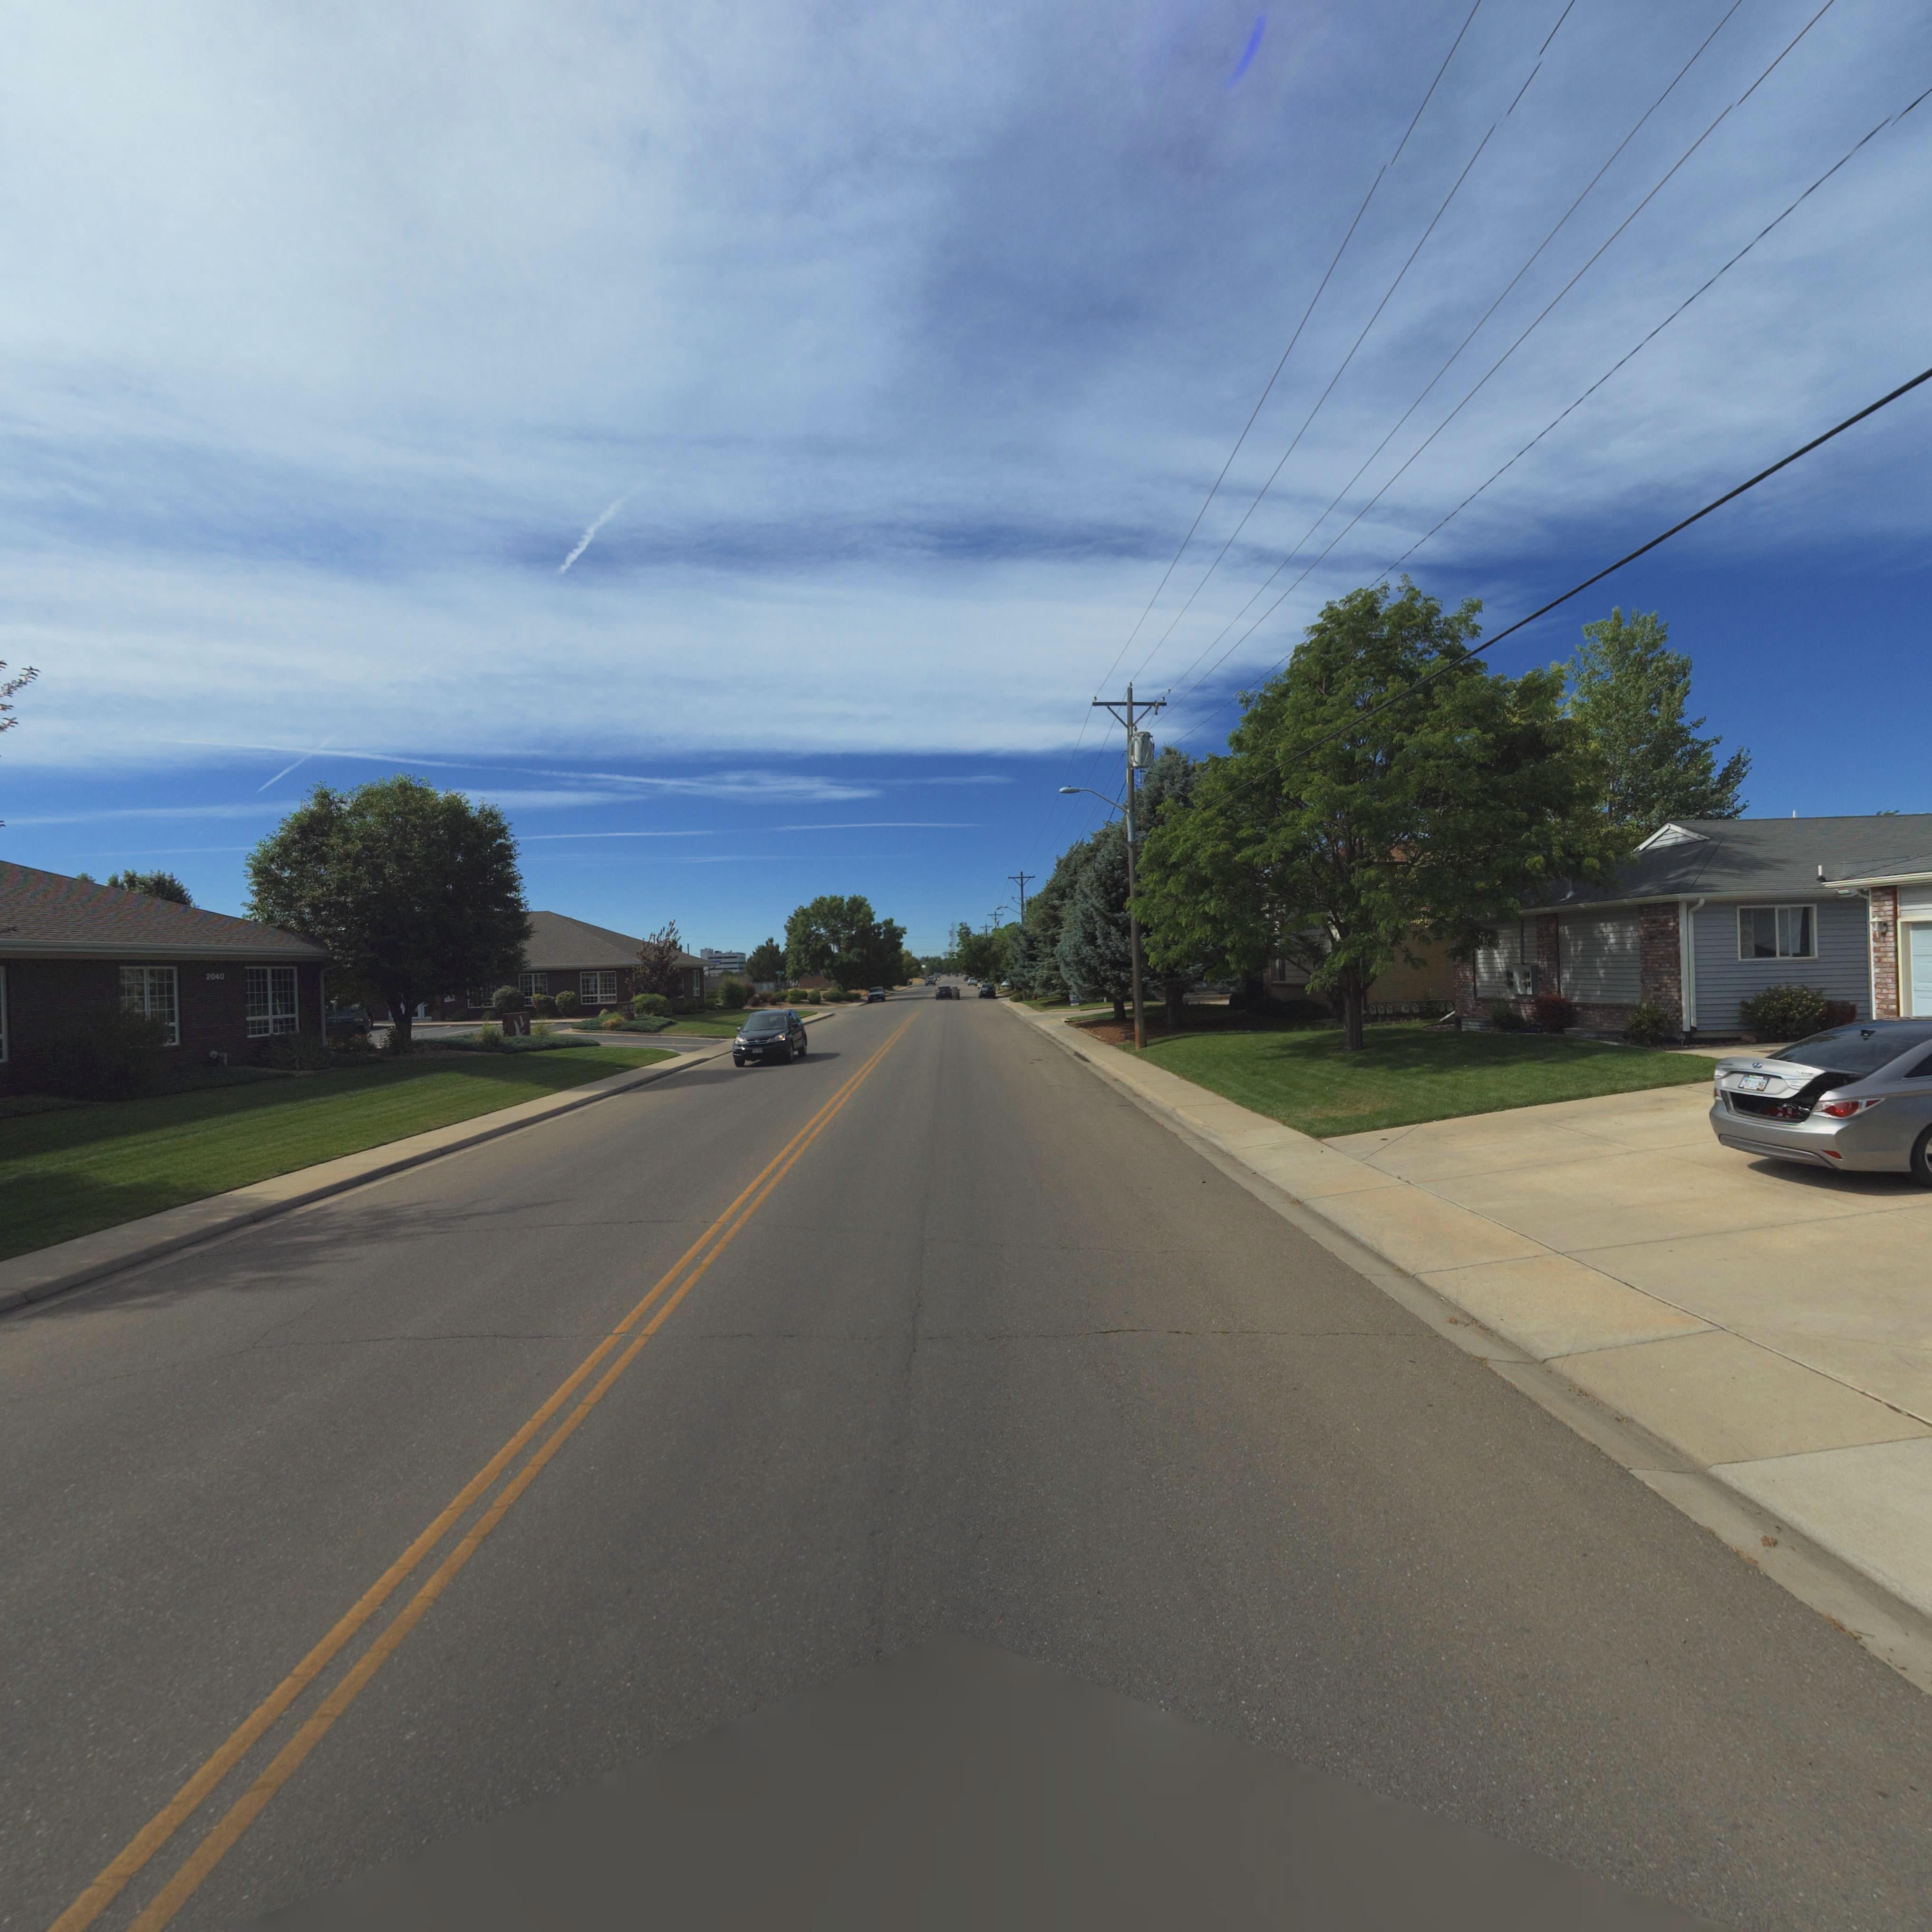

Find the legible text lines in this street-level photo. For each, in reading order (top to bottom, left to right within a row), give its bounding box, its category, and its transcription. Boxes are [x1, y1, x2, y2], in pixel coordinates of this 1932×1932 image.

[205, 972, 224, 980] StreetNumber: 2040